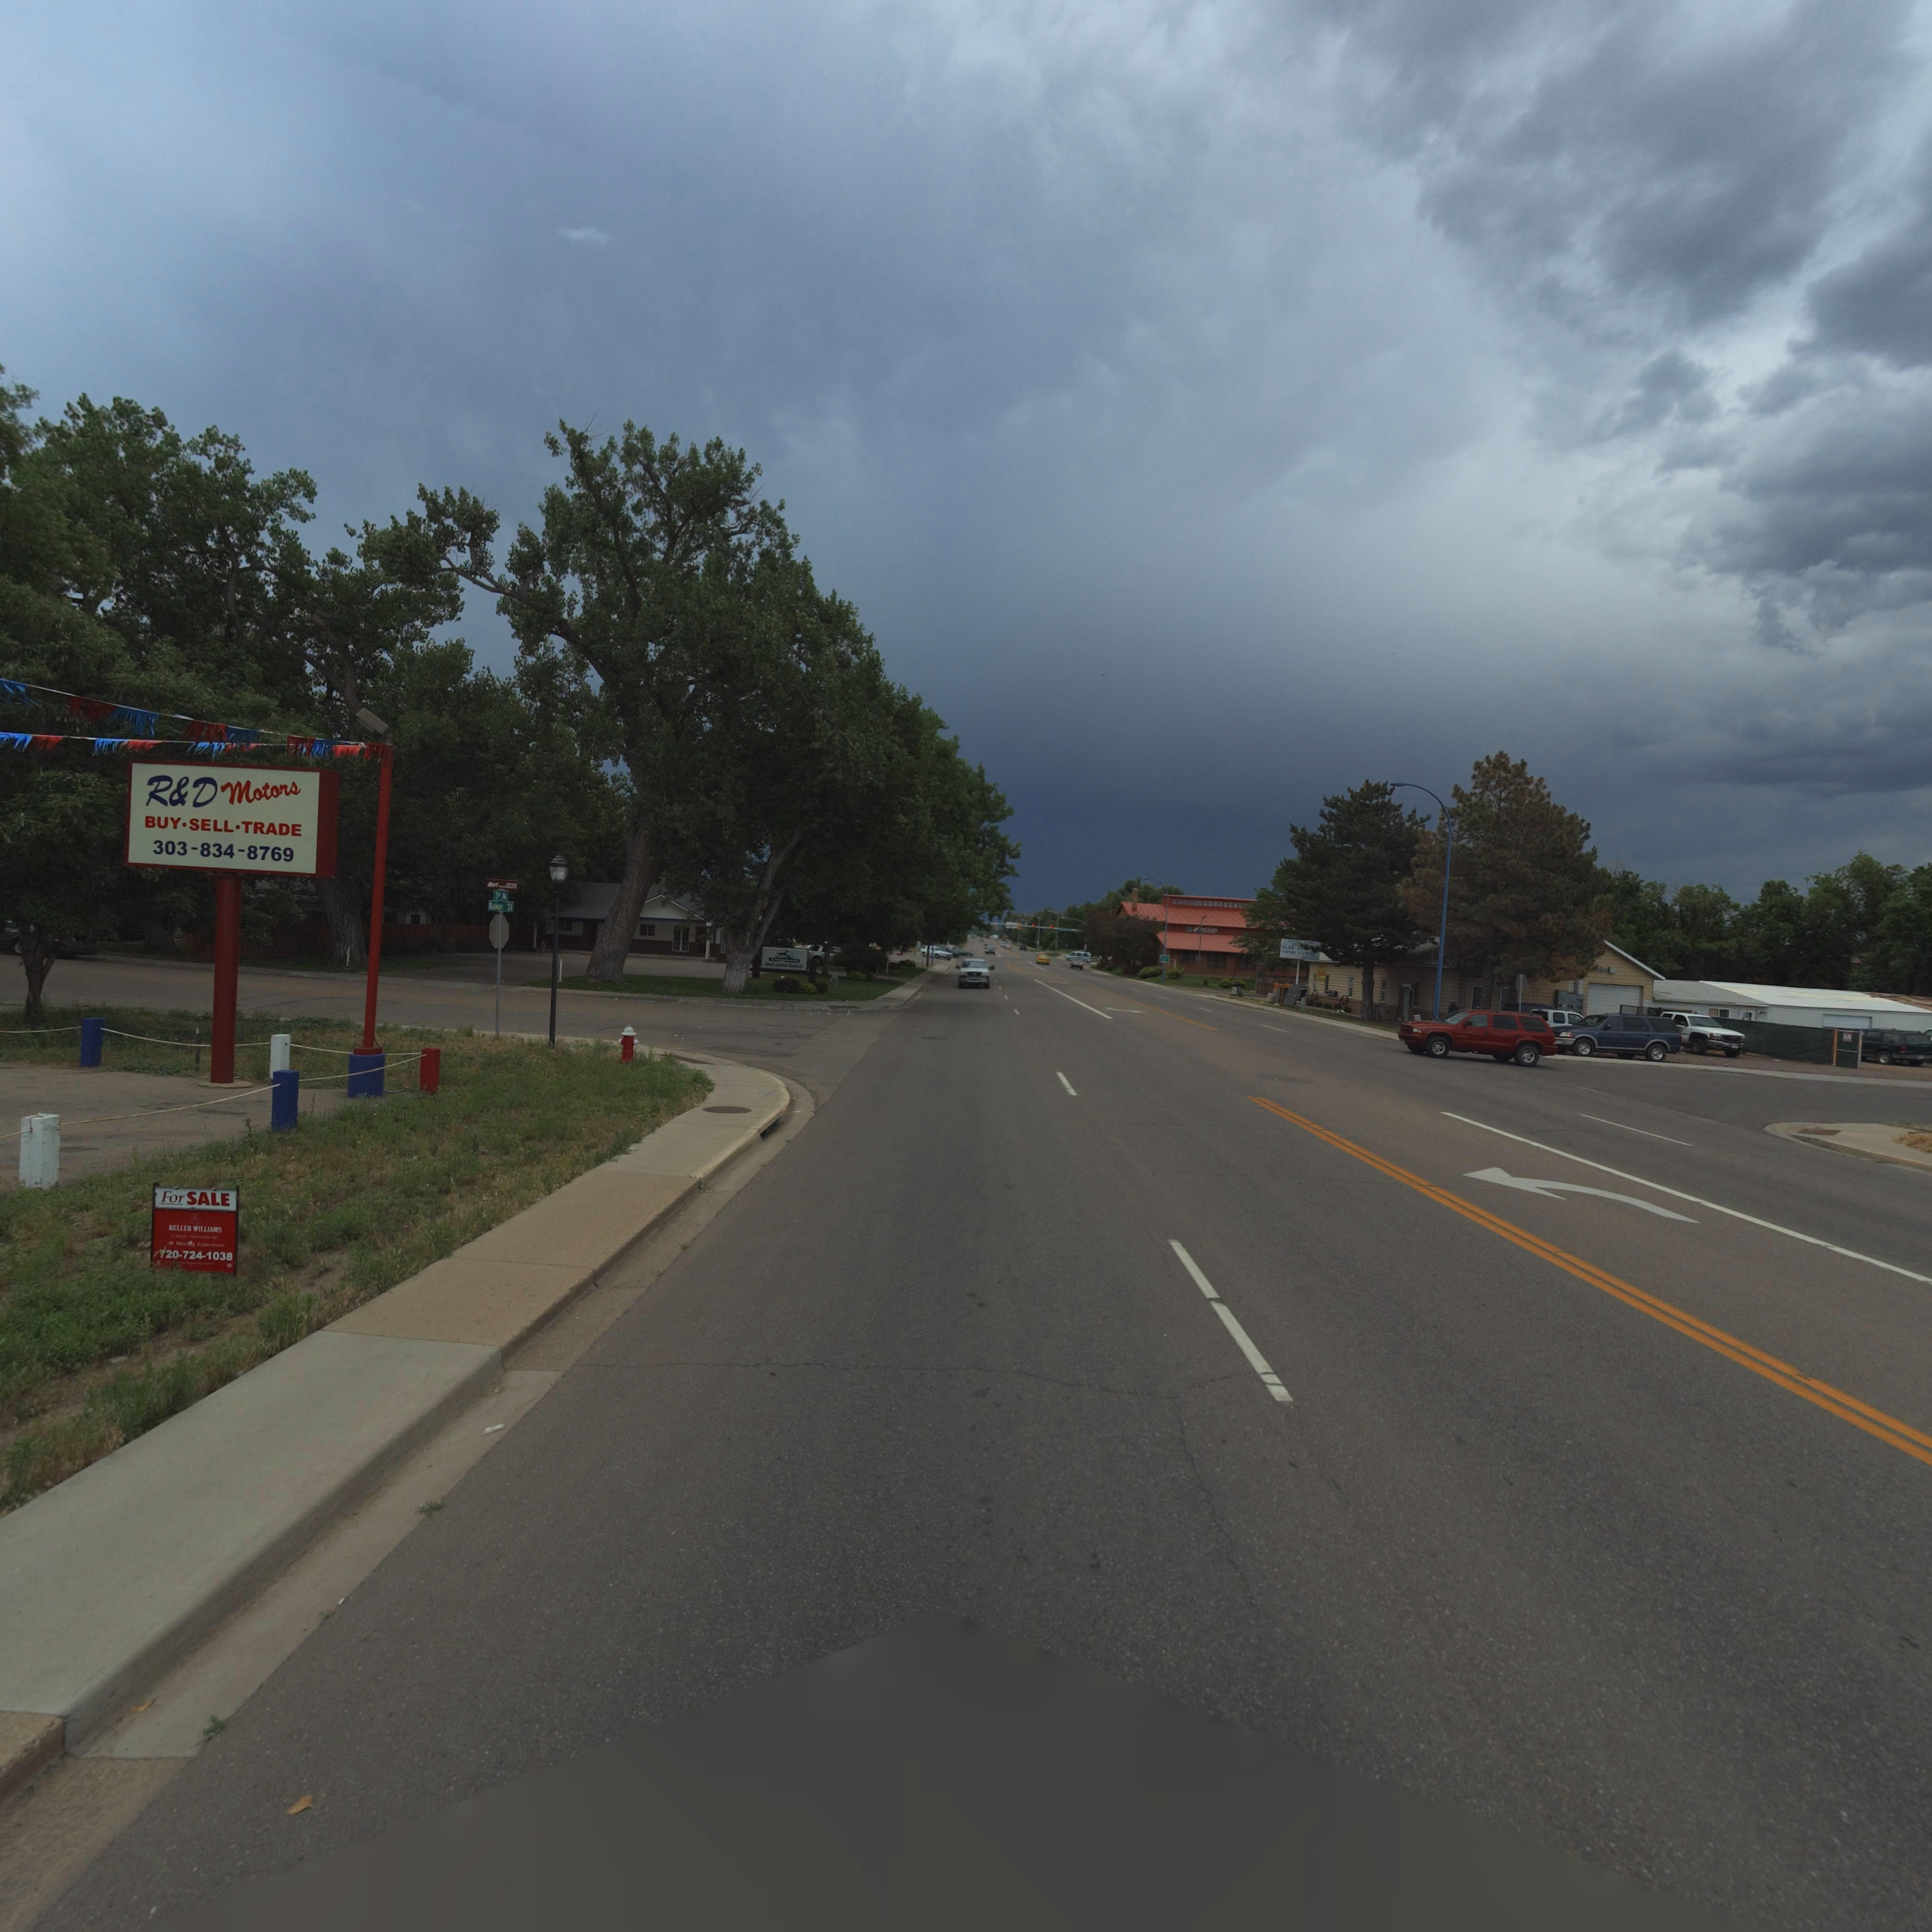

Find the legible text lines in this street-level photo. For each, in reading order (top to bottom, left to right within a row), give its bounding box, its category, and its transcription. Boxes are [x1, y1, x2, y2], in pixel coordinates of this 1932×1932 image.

[144, 773, 218, 809] BusinessName: R&D
[219, 780, 301, 805] BusinessName: Motors
[494, 891, 507, 899] StreetName: 3rd Av
[488, 901, 513, 911] StreetName: Baker St
[771, 957, 799, 962] BusinessName: Longmont
[764, 961, 803, 969] BusinessName: Small Animal Hospital